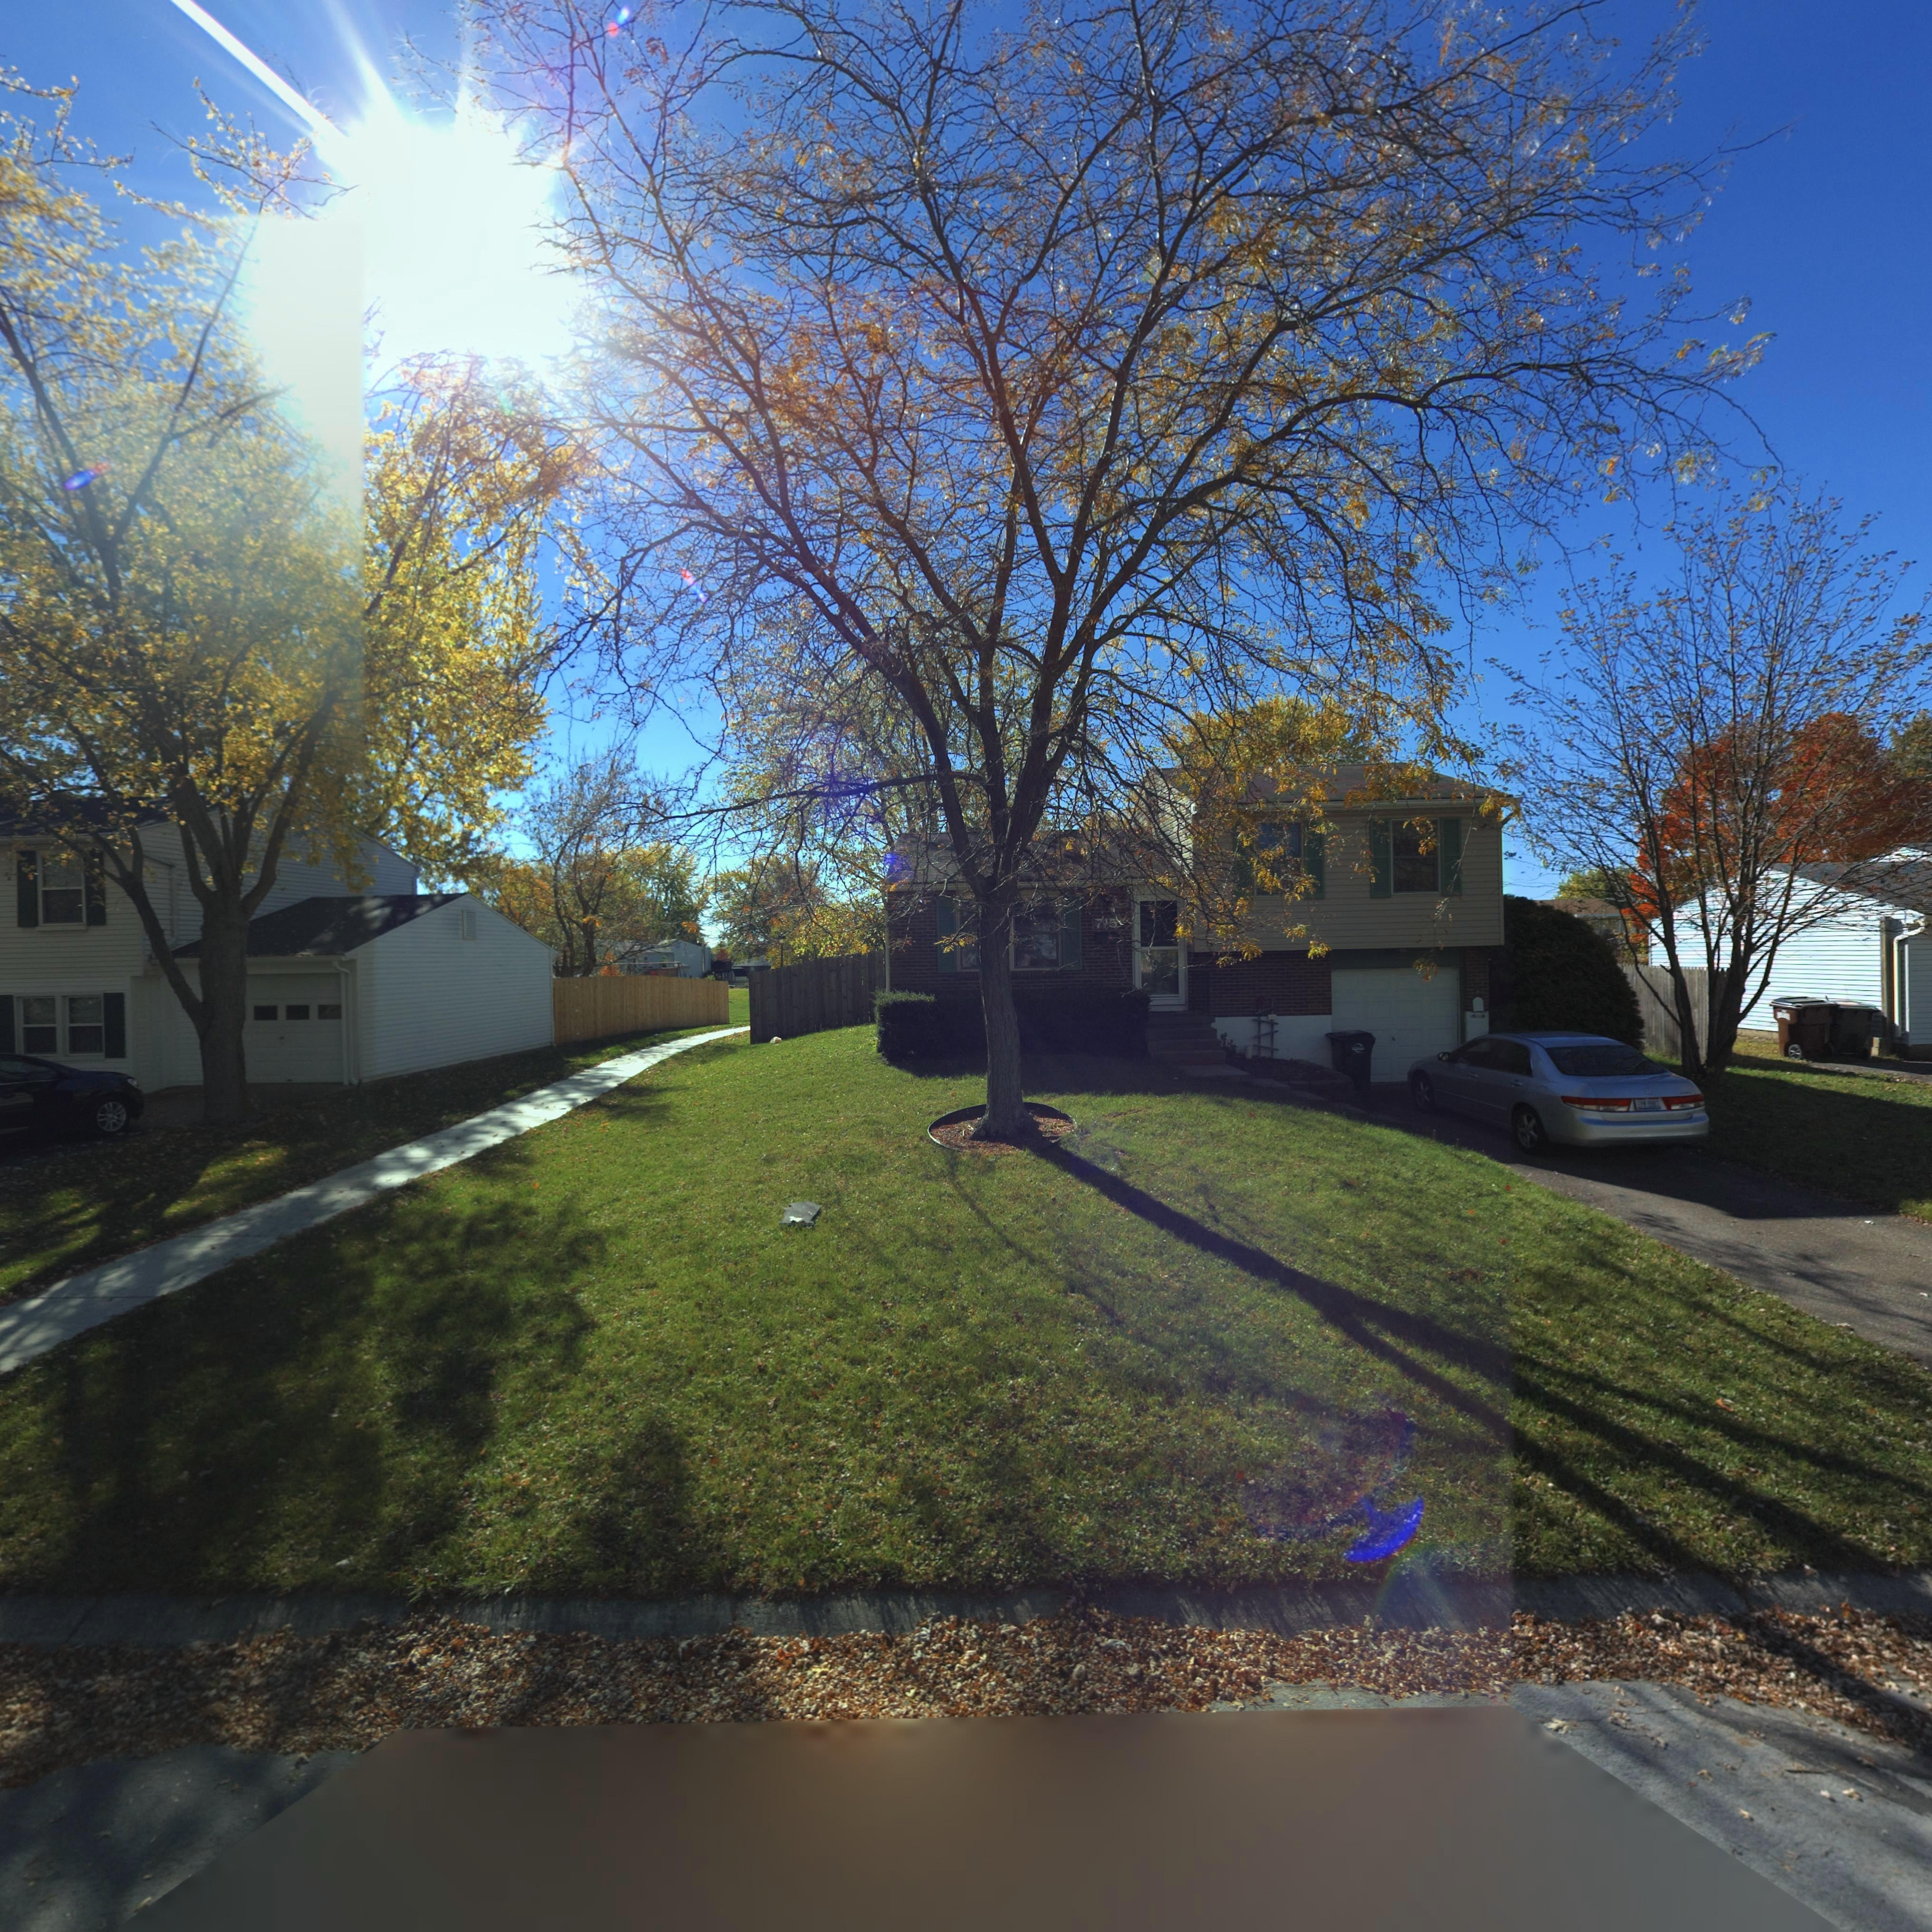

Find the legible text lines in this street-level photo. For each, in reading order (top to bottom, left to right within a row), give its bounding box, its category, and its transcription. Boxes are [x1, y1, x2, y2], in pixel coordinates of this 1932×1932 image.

[1094, 918, 1118, 929] StreetNumber: 715